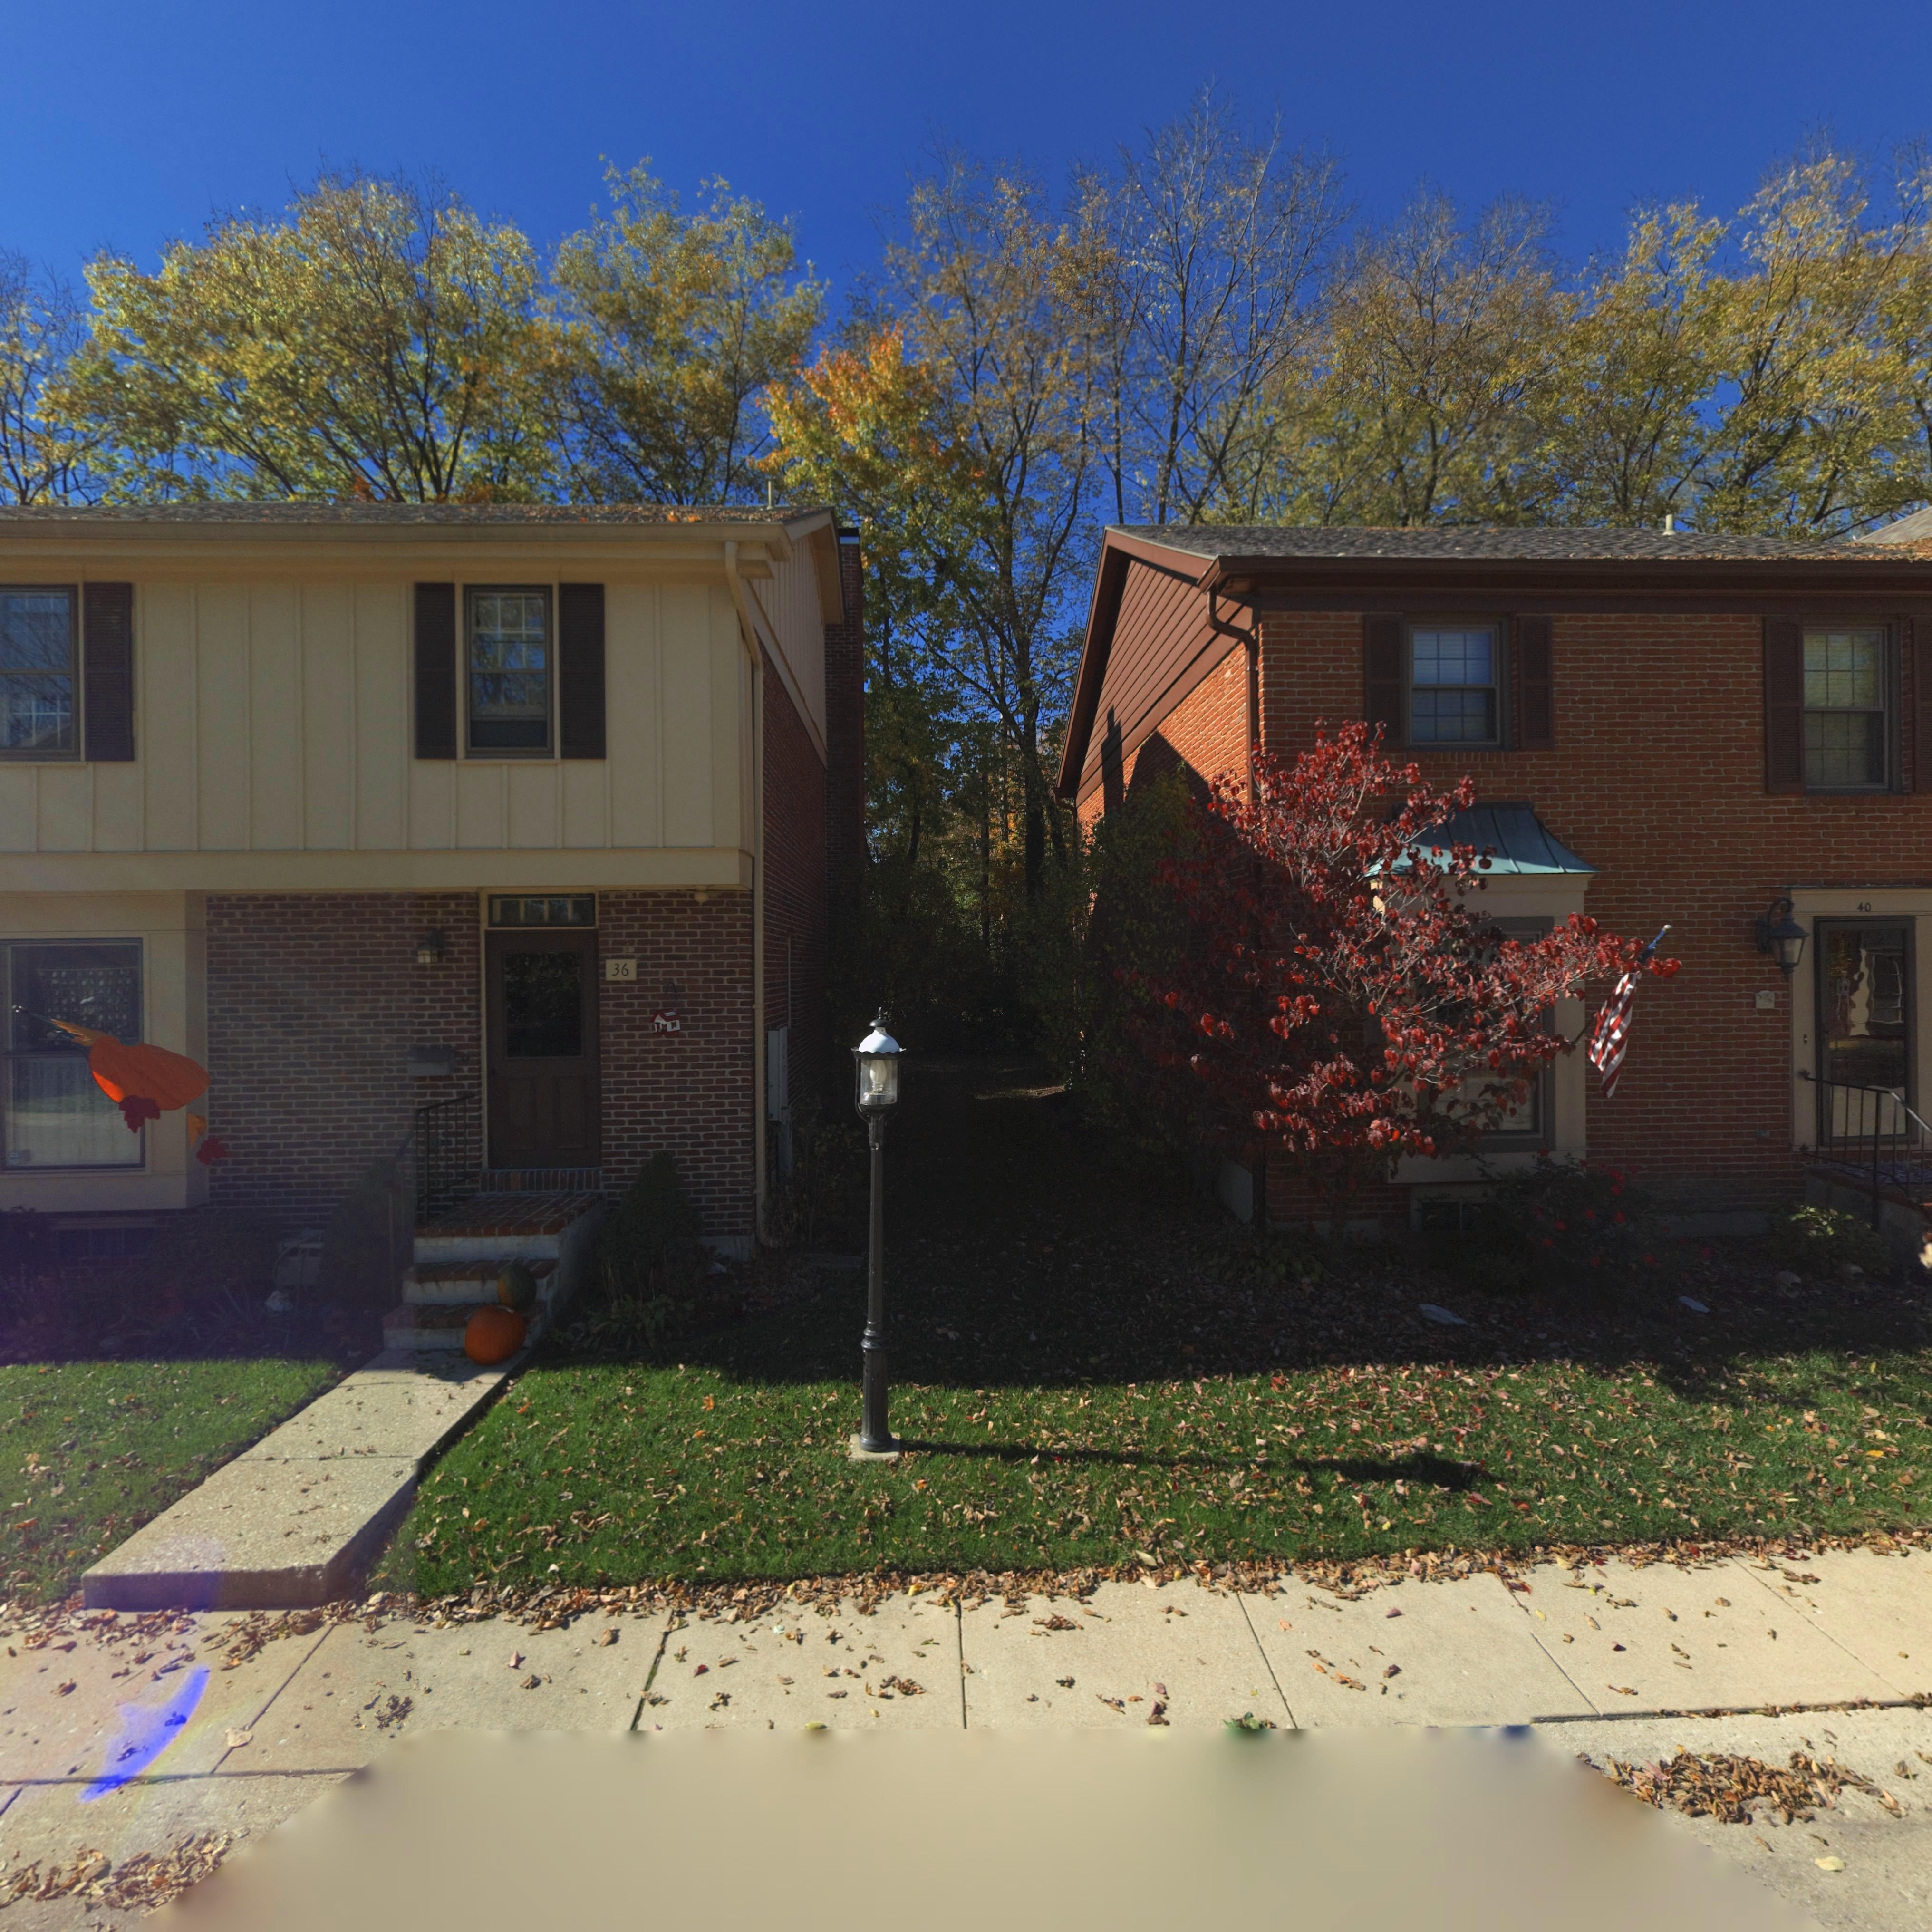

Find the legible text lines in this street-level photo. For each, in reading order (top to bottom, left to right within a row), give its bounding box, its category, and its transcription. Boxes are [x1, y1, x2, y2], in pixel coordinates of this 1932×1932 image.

[1856, 901, 1872, 912] StreetNumber: 40
[611, 963, 629, 976] StreetNumber: 36